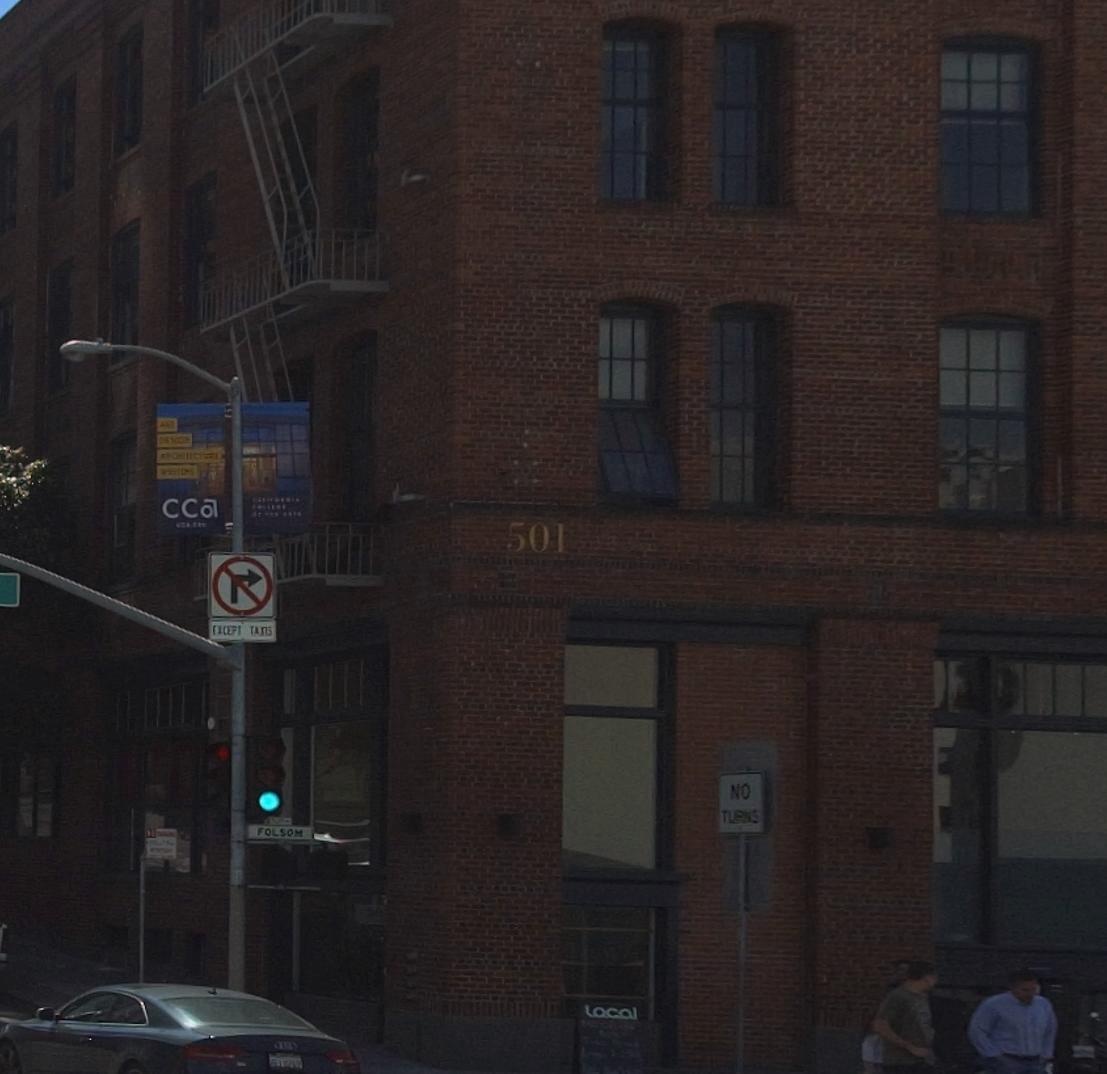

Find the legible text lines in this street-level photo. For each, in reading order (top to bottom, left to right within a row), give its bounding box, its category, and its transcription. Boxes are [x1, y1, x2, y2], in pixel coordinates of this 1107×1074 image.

[158, 496, 199, 519] None: CC
[507, 521, 565, 554] StreetNumber: 501
[212, 624, 273, 636] None: EXCEPT TAXIS
[729, 783, 750, 801] None: NO
[720, 809, 760, 824] None: TURNS
[255, 826, 303, 838] StreetName: FOLSOM
[582, 1003, 638, 1020] None: local